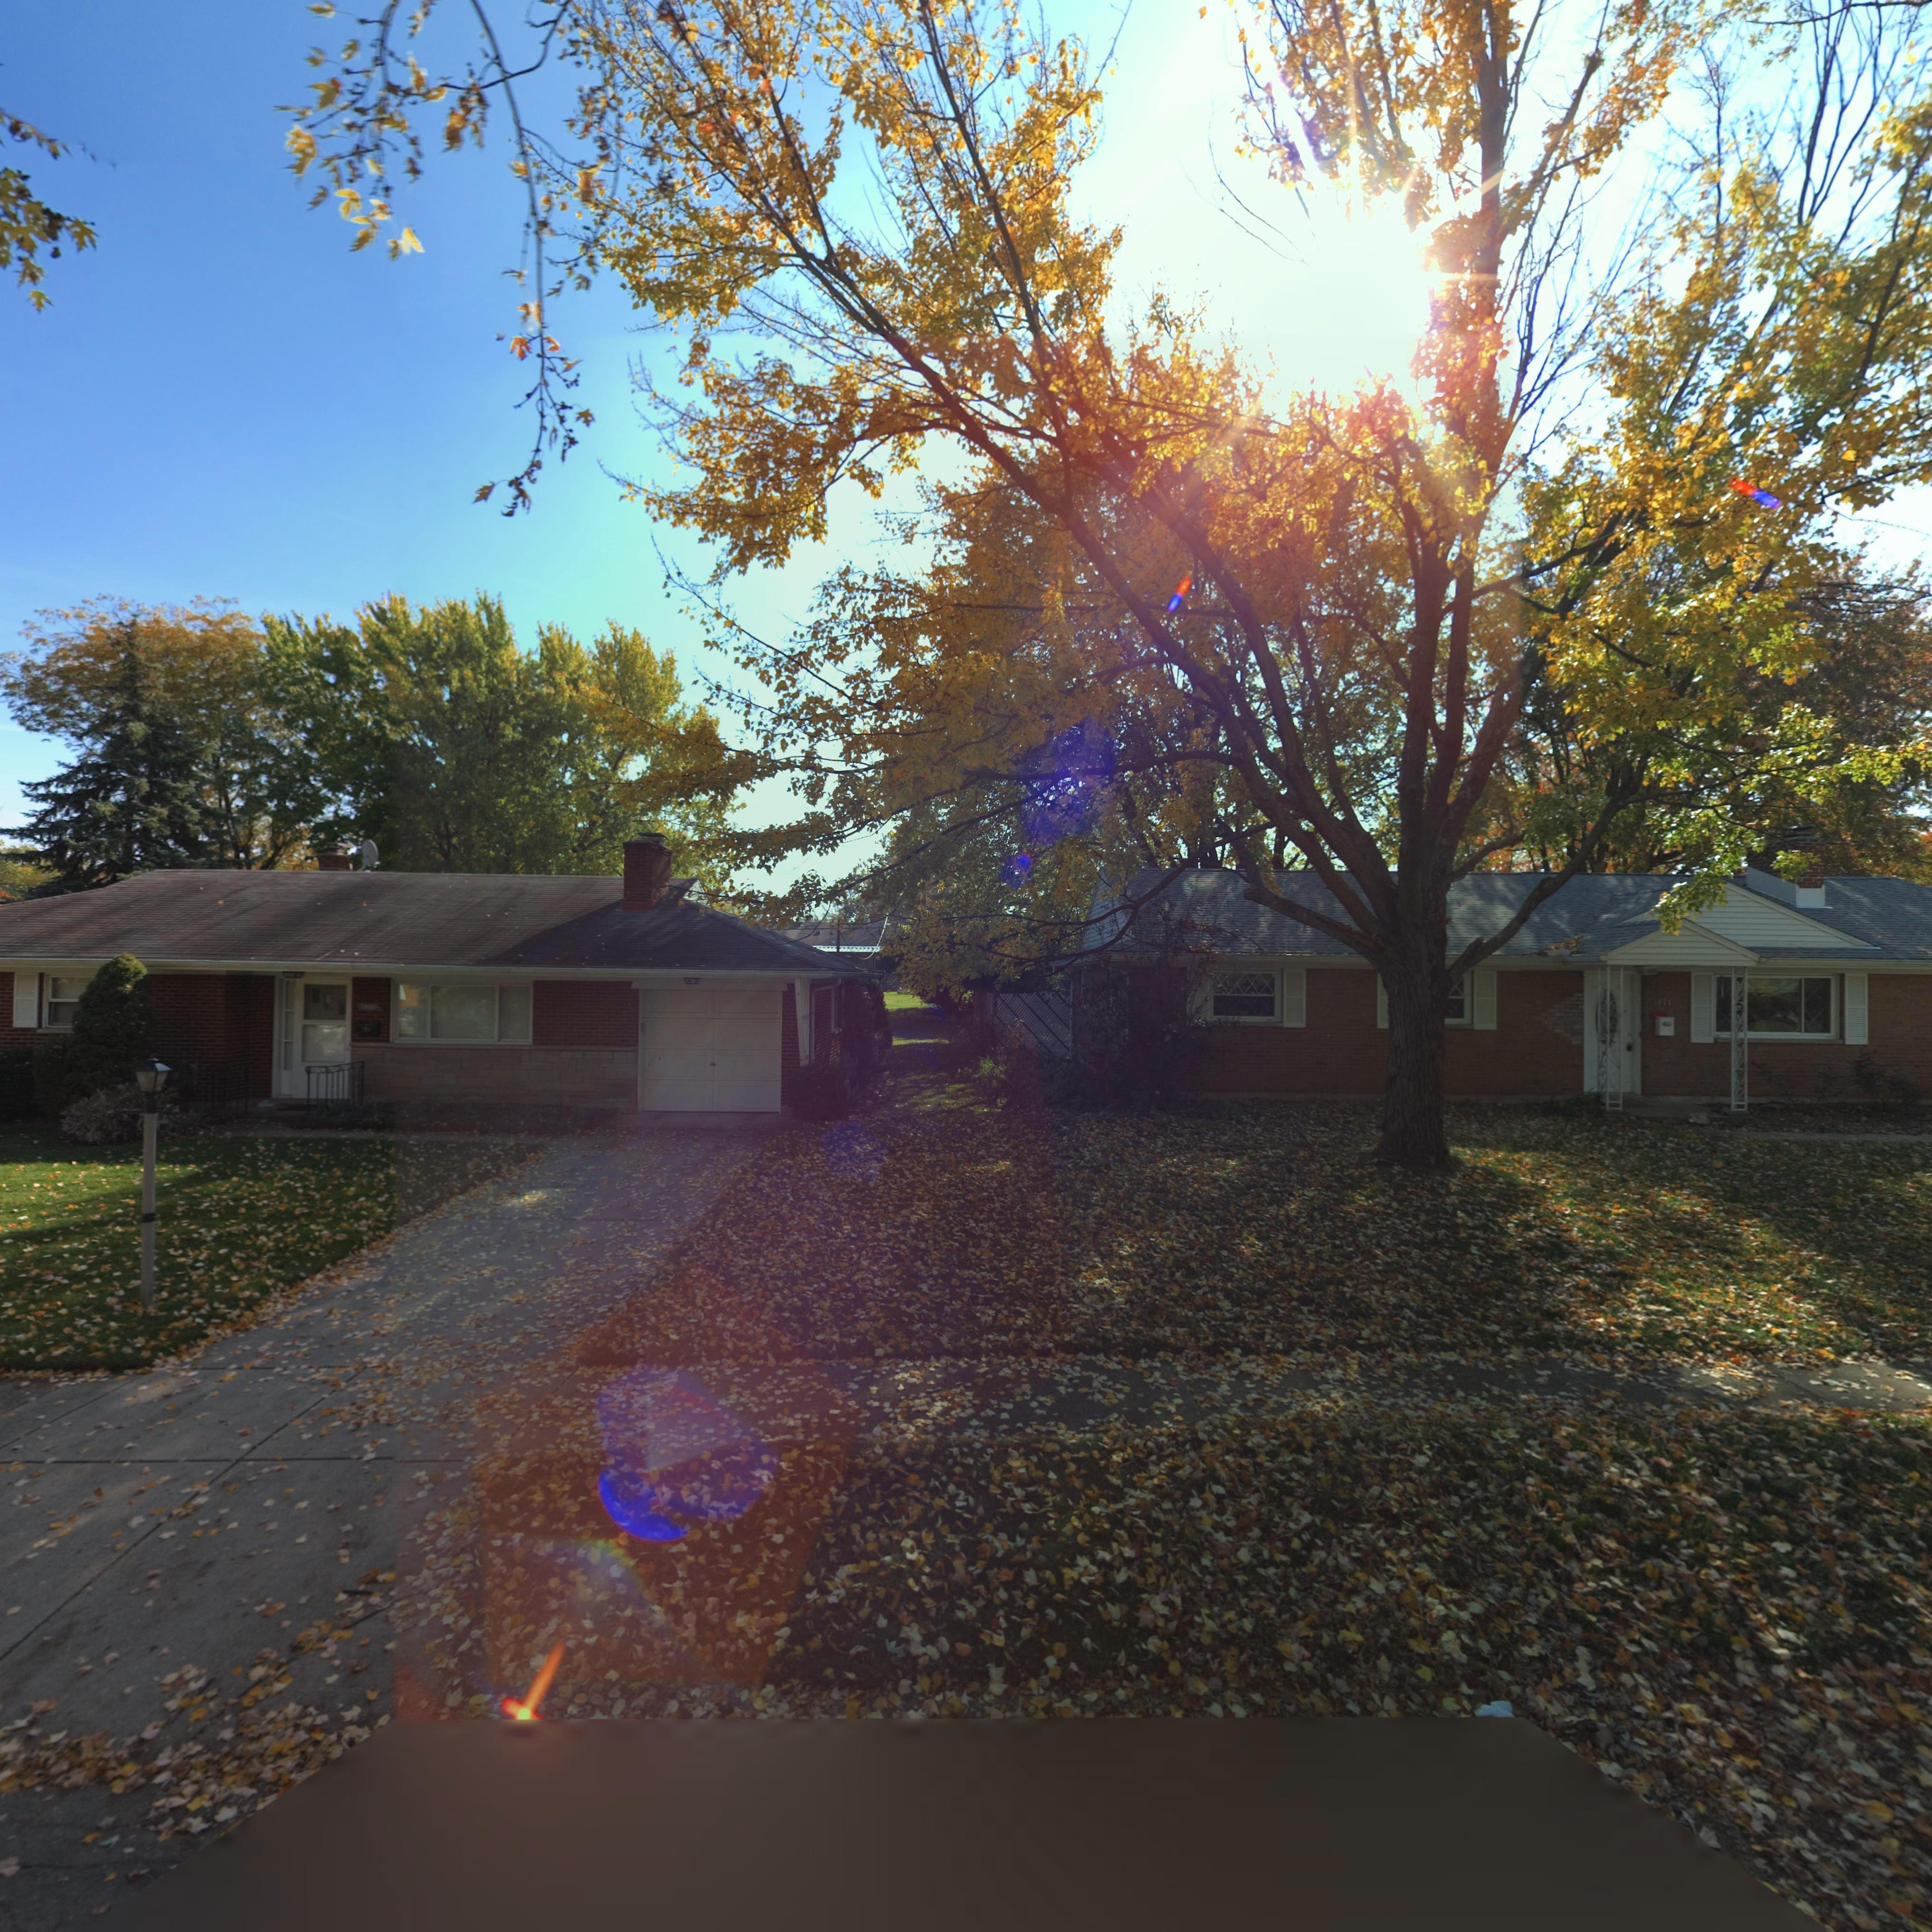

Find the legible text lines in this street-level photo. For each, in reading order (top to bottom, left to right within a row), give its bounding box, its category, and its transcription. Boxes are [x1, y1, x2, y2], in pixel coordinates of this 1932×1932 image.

[1653, 998, 1671, 1006] StreetNumber: 1054